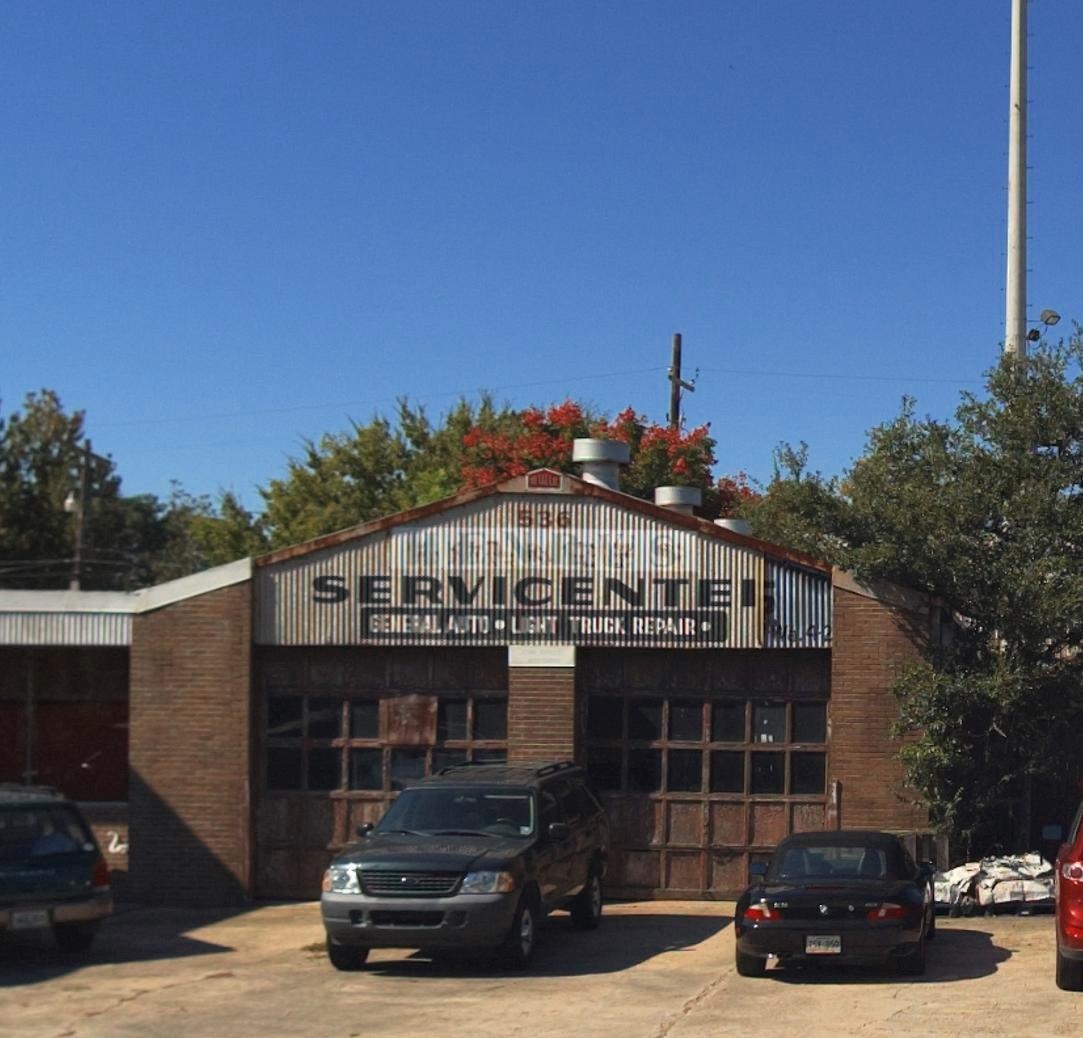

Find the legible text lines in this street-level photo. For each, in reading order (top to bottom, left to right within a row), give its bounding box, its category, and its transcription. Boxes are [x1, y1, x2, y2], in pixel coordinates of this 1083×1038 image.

[515, 507, 574, 530] StreetNumber: 536
[310, 571, 757, 609] BusinessName: SERVICENTEI
[366, 612, 698, 637] None: GENE*AL A*TO * L*GHT TRUCK REPAIR
[801, 620, 833, 645] None: 42